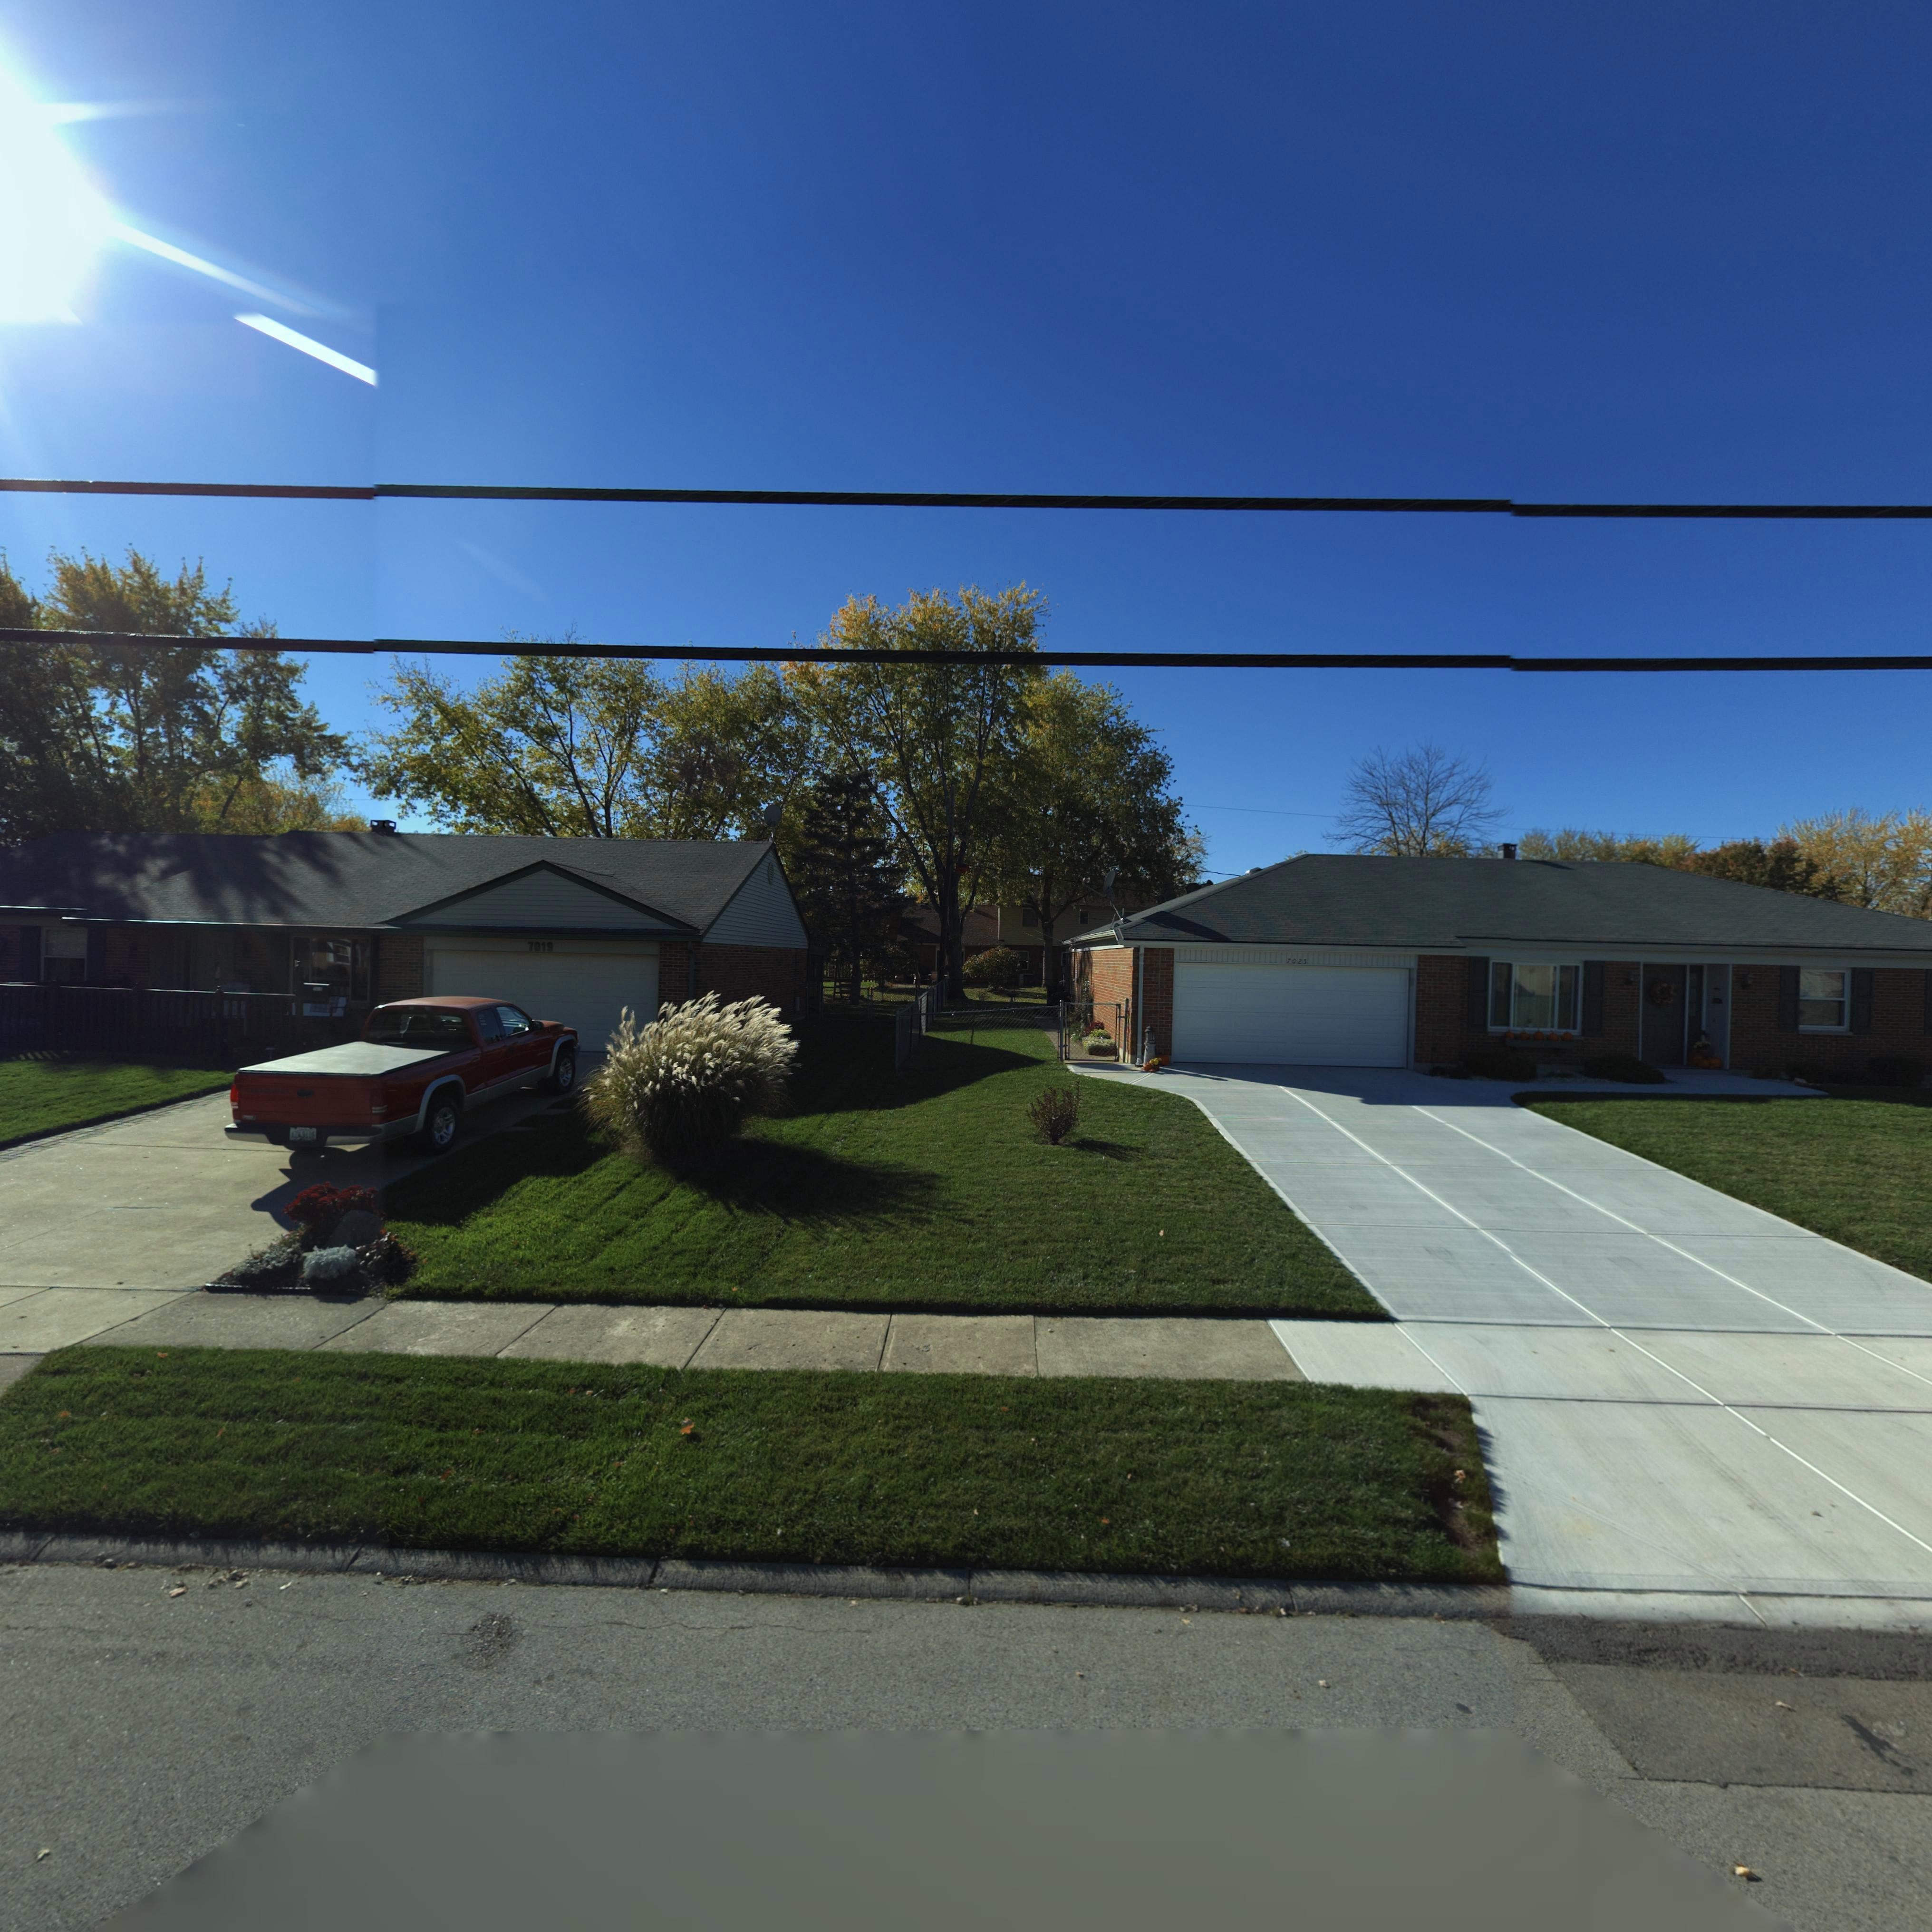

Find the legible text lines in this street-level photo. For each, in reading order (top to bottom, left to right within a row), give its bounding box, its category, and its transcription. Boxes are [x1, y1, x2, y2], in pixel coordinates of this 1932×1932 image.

[526, 940, 554, 953] StreetNumber: 7019
[1285, 957, 1307, 965] StreetNumber: 7025